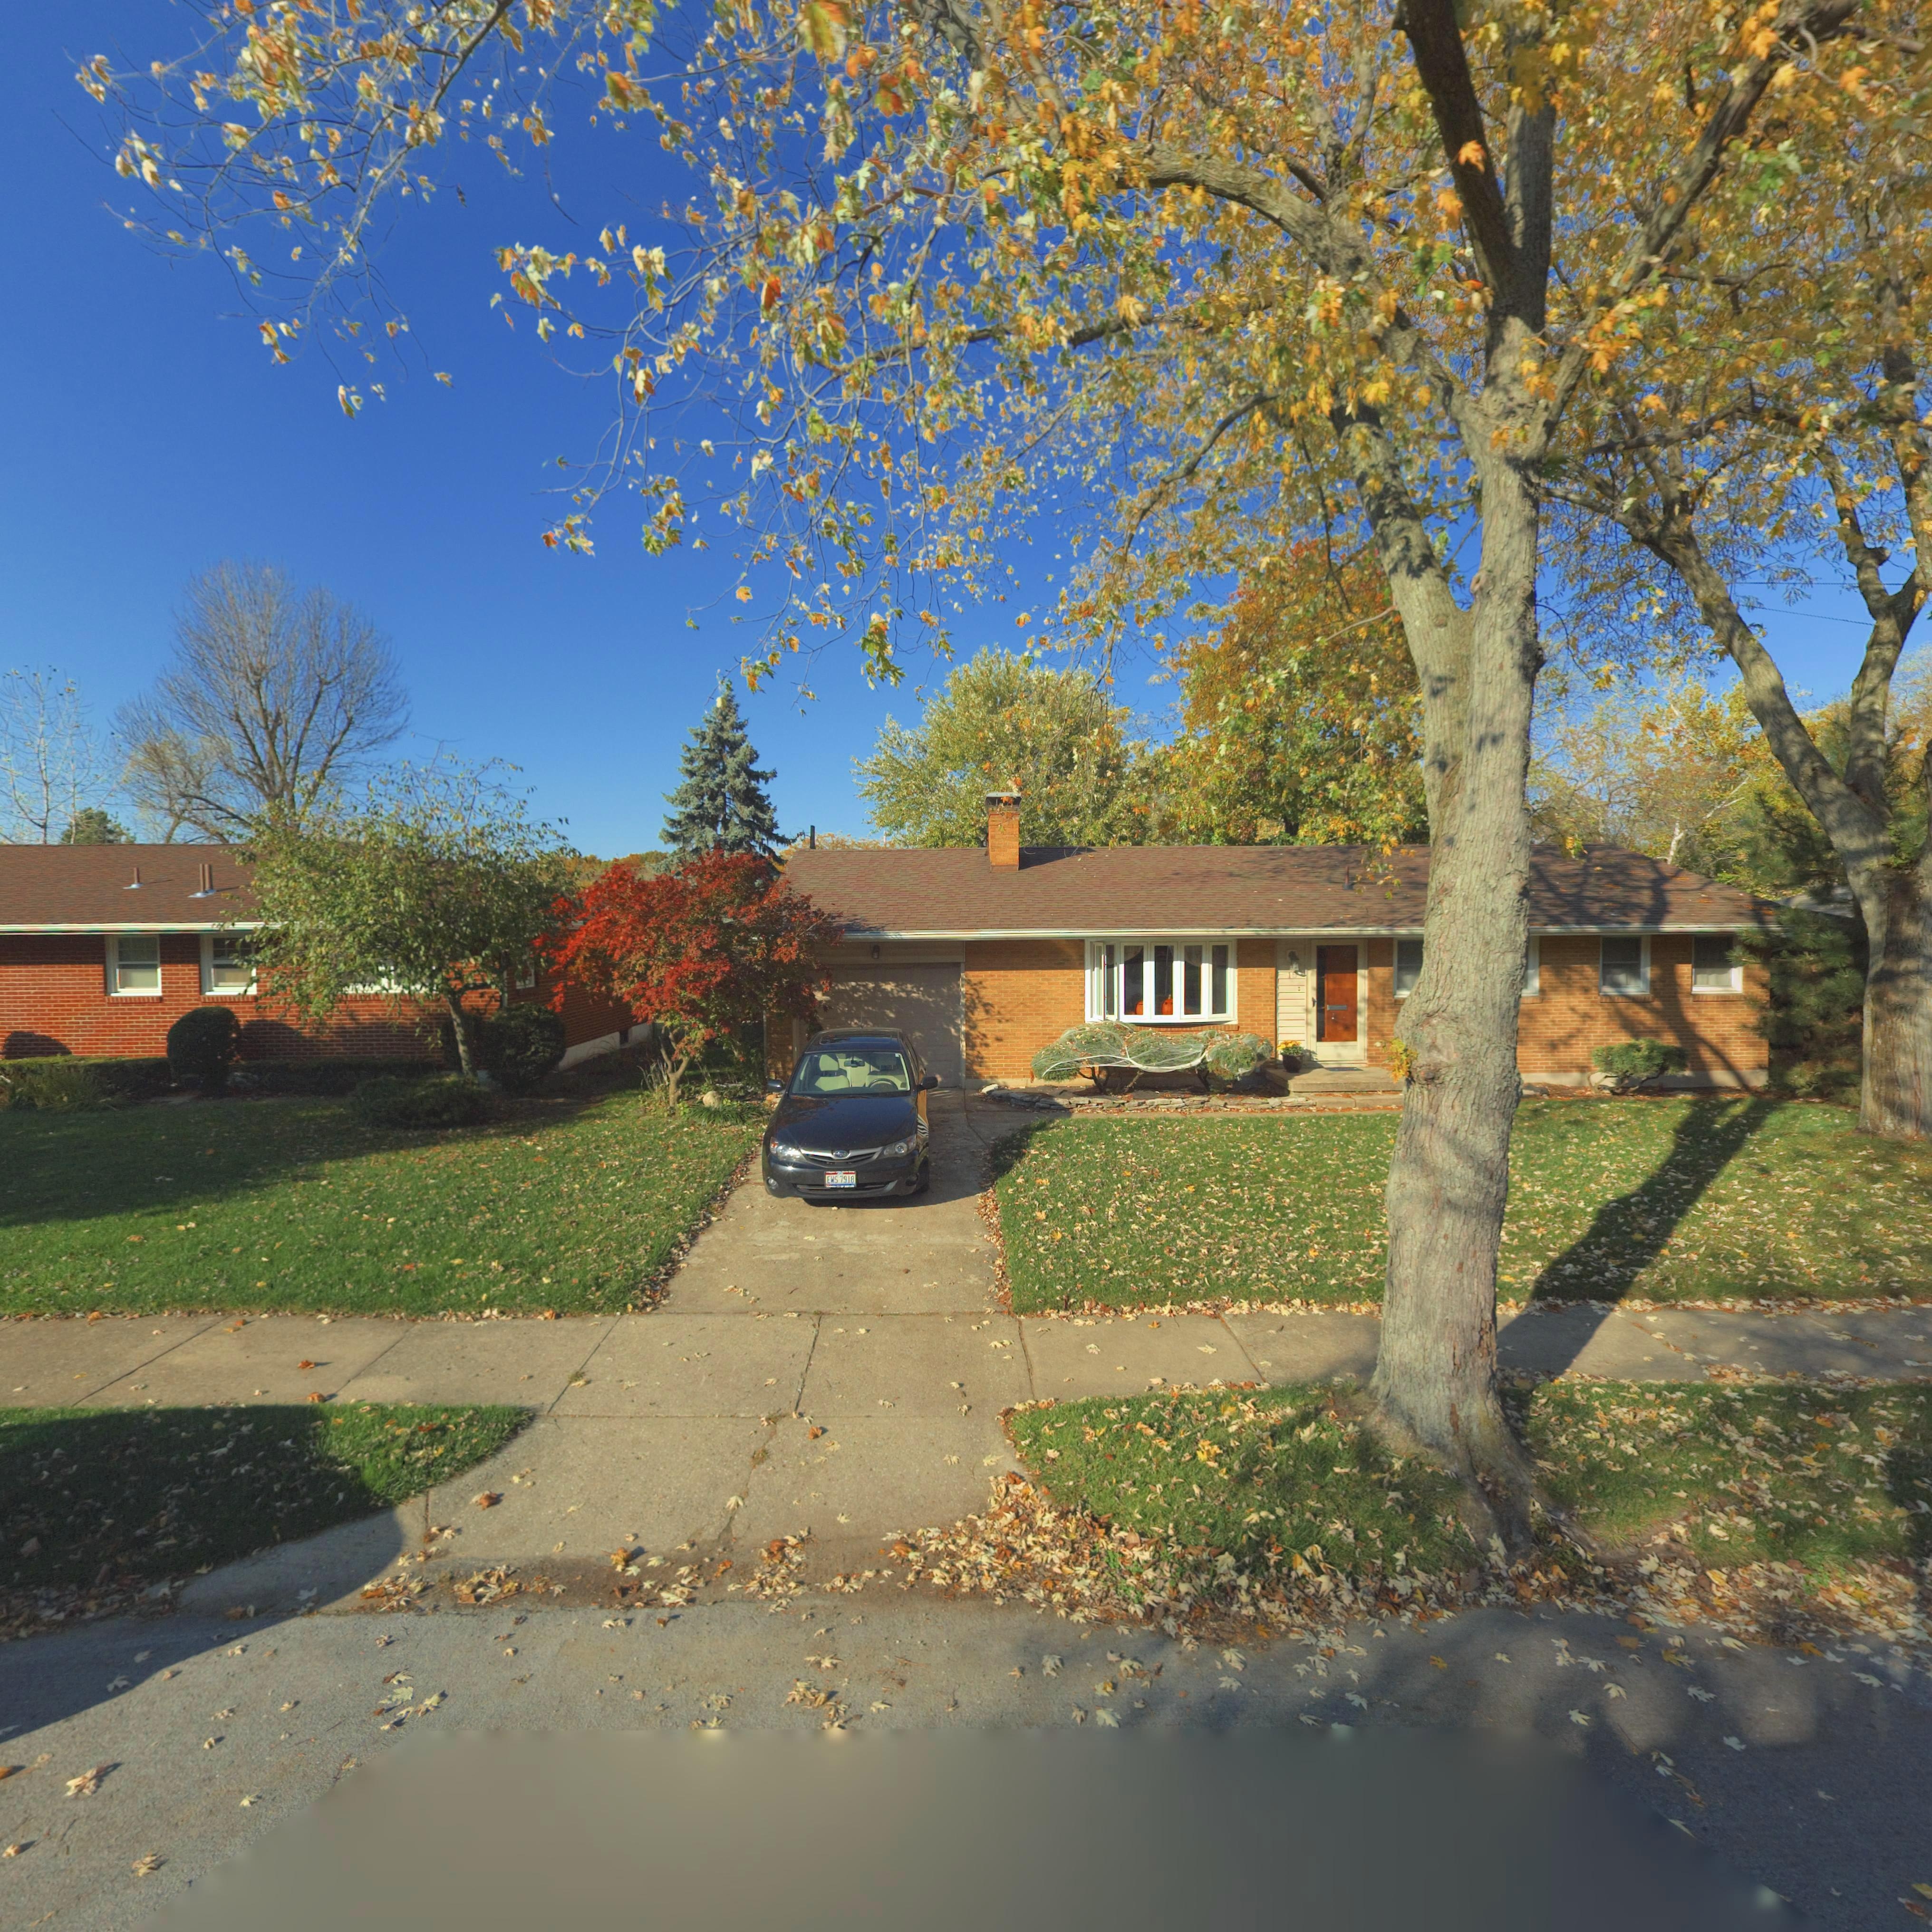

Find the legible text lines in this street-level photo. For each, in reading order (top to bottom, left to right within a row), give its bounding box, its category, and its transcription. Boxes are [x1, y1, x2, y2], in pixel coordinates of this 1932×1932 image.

[1288, 971, 1297, 979] StreetNumber: 19